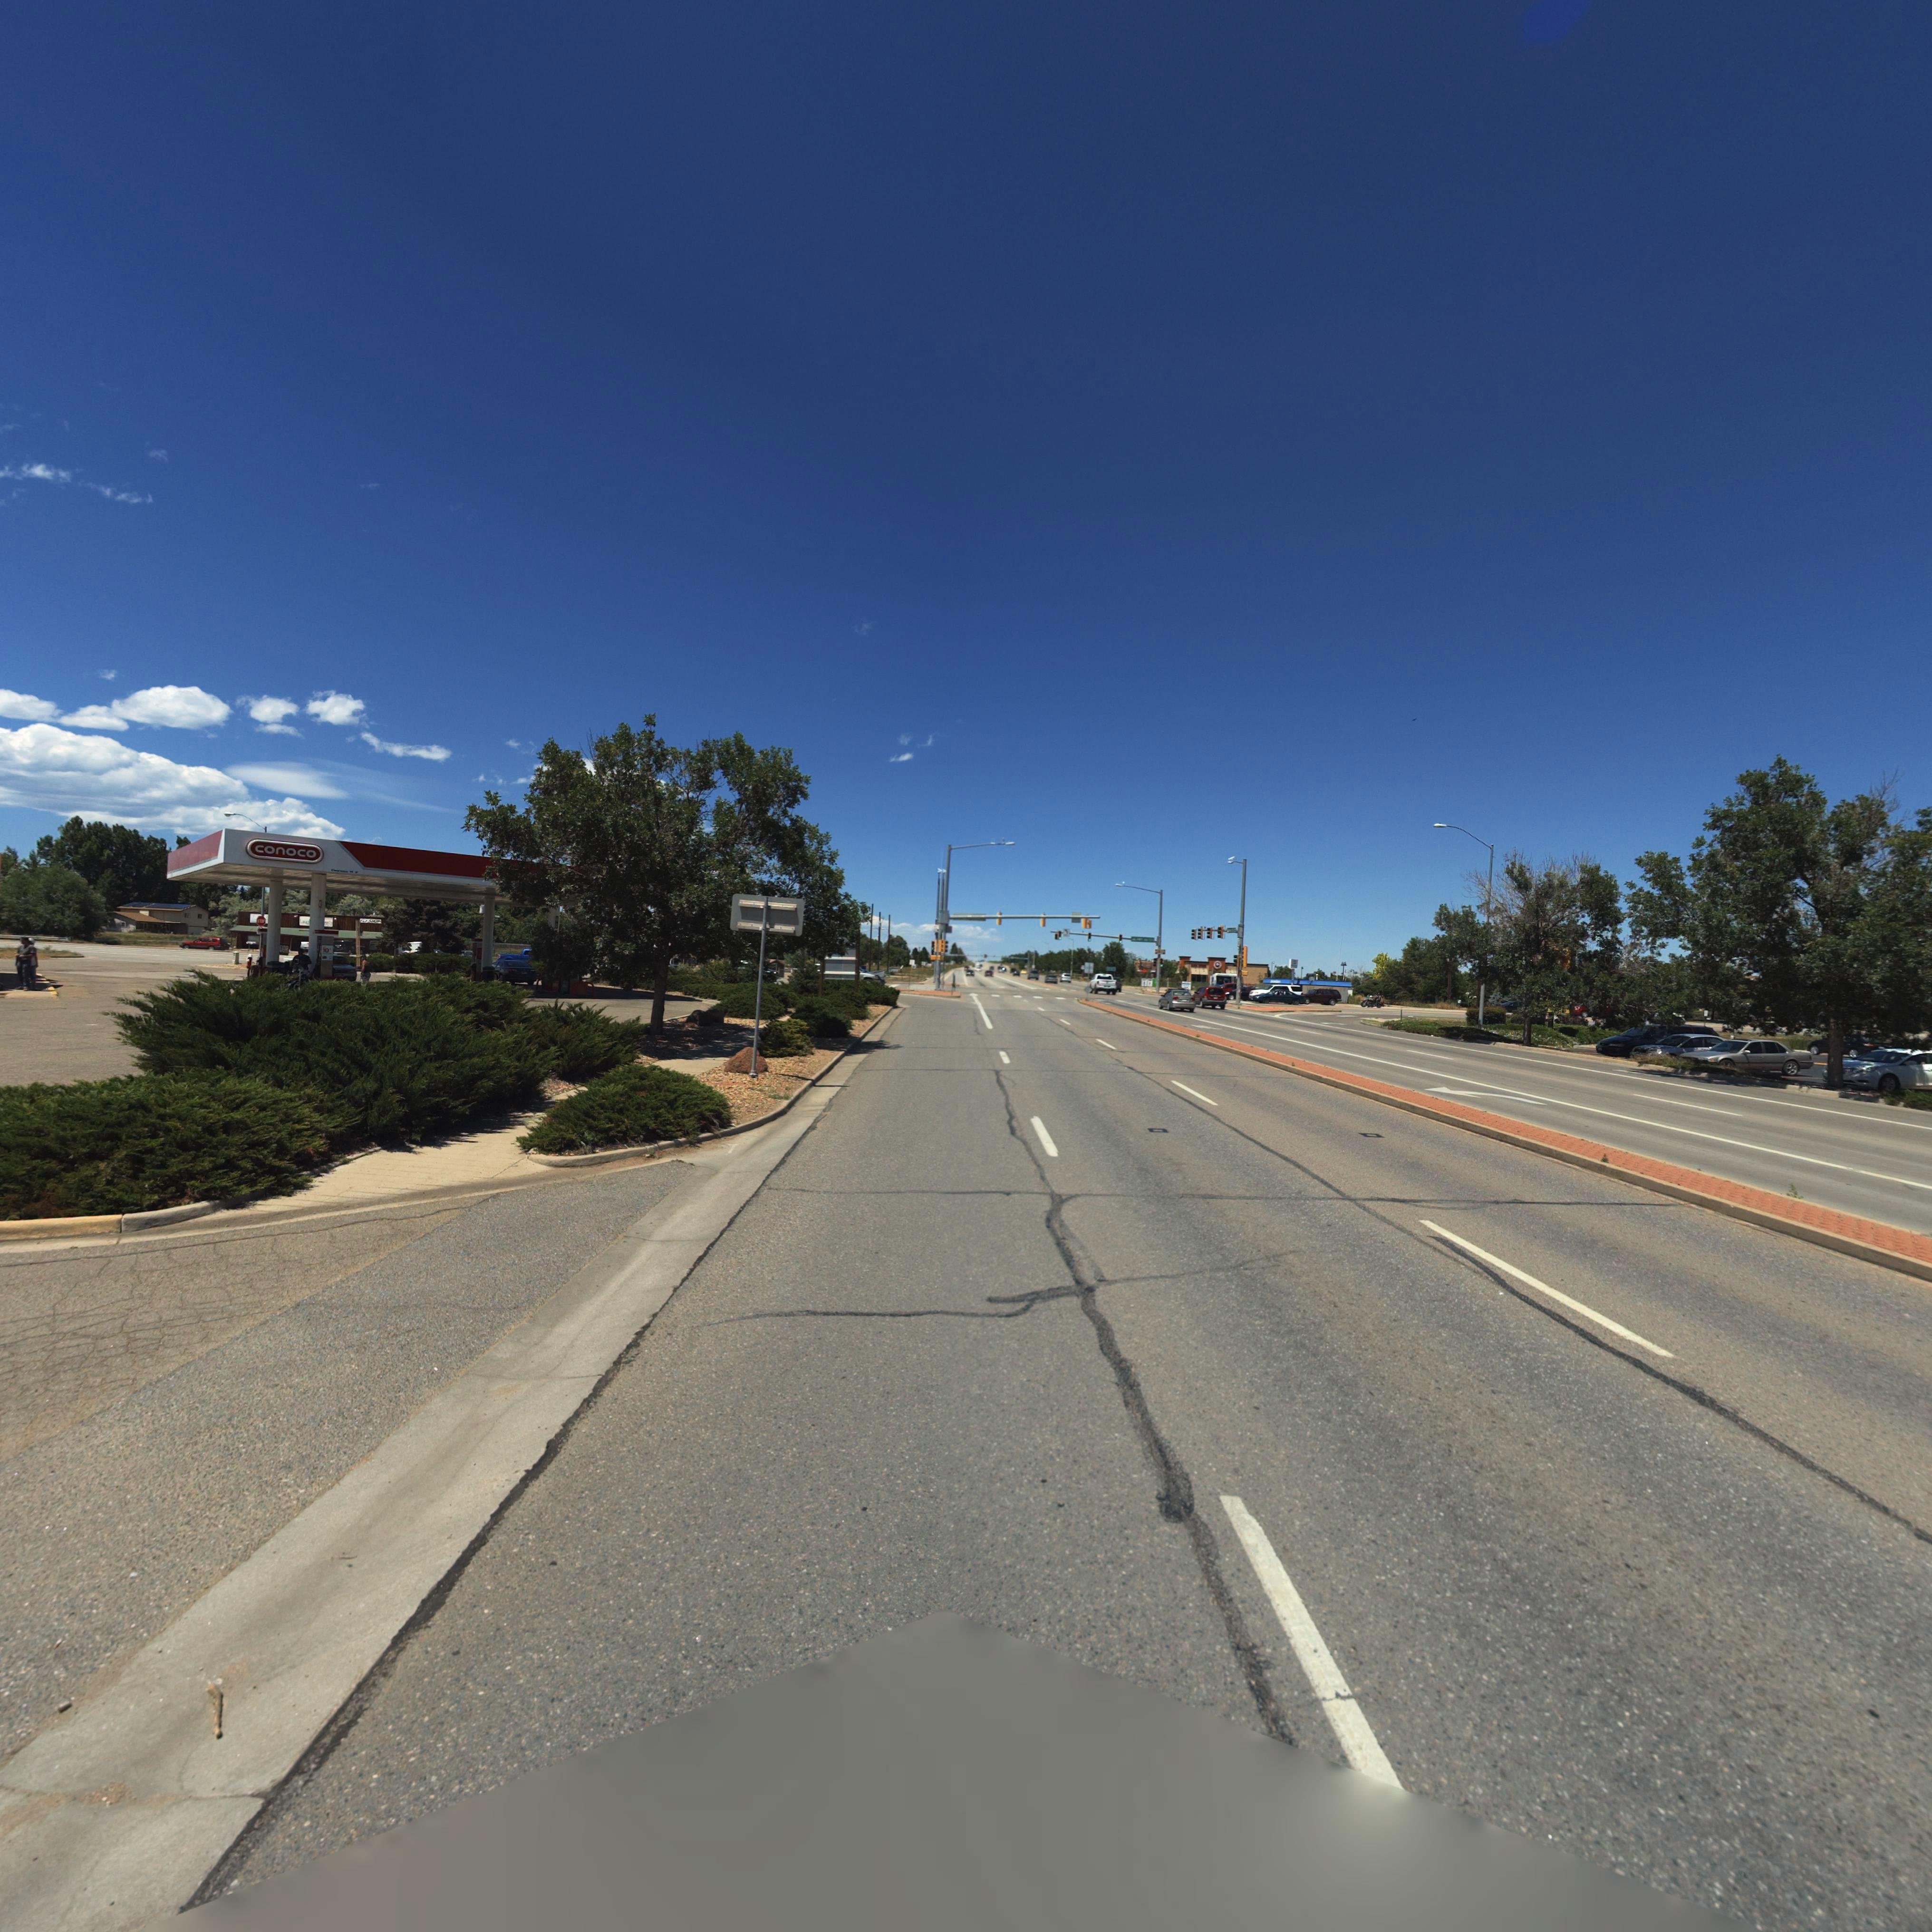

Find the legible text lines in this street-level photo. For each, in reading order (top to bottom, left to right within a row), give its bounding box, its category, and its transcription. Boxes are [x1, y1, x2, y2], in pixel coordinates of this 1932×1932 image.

[255, 844, 317, 859] BusinessName: conoco
[1136, 937, 1148, 941] StreetName: *** 66